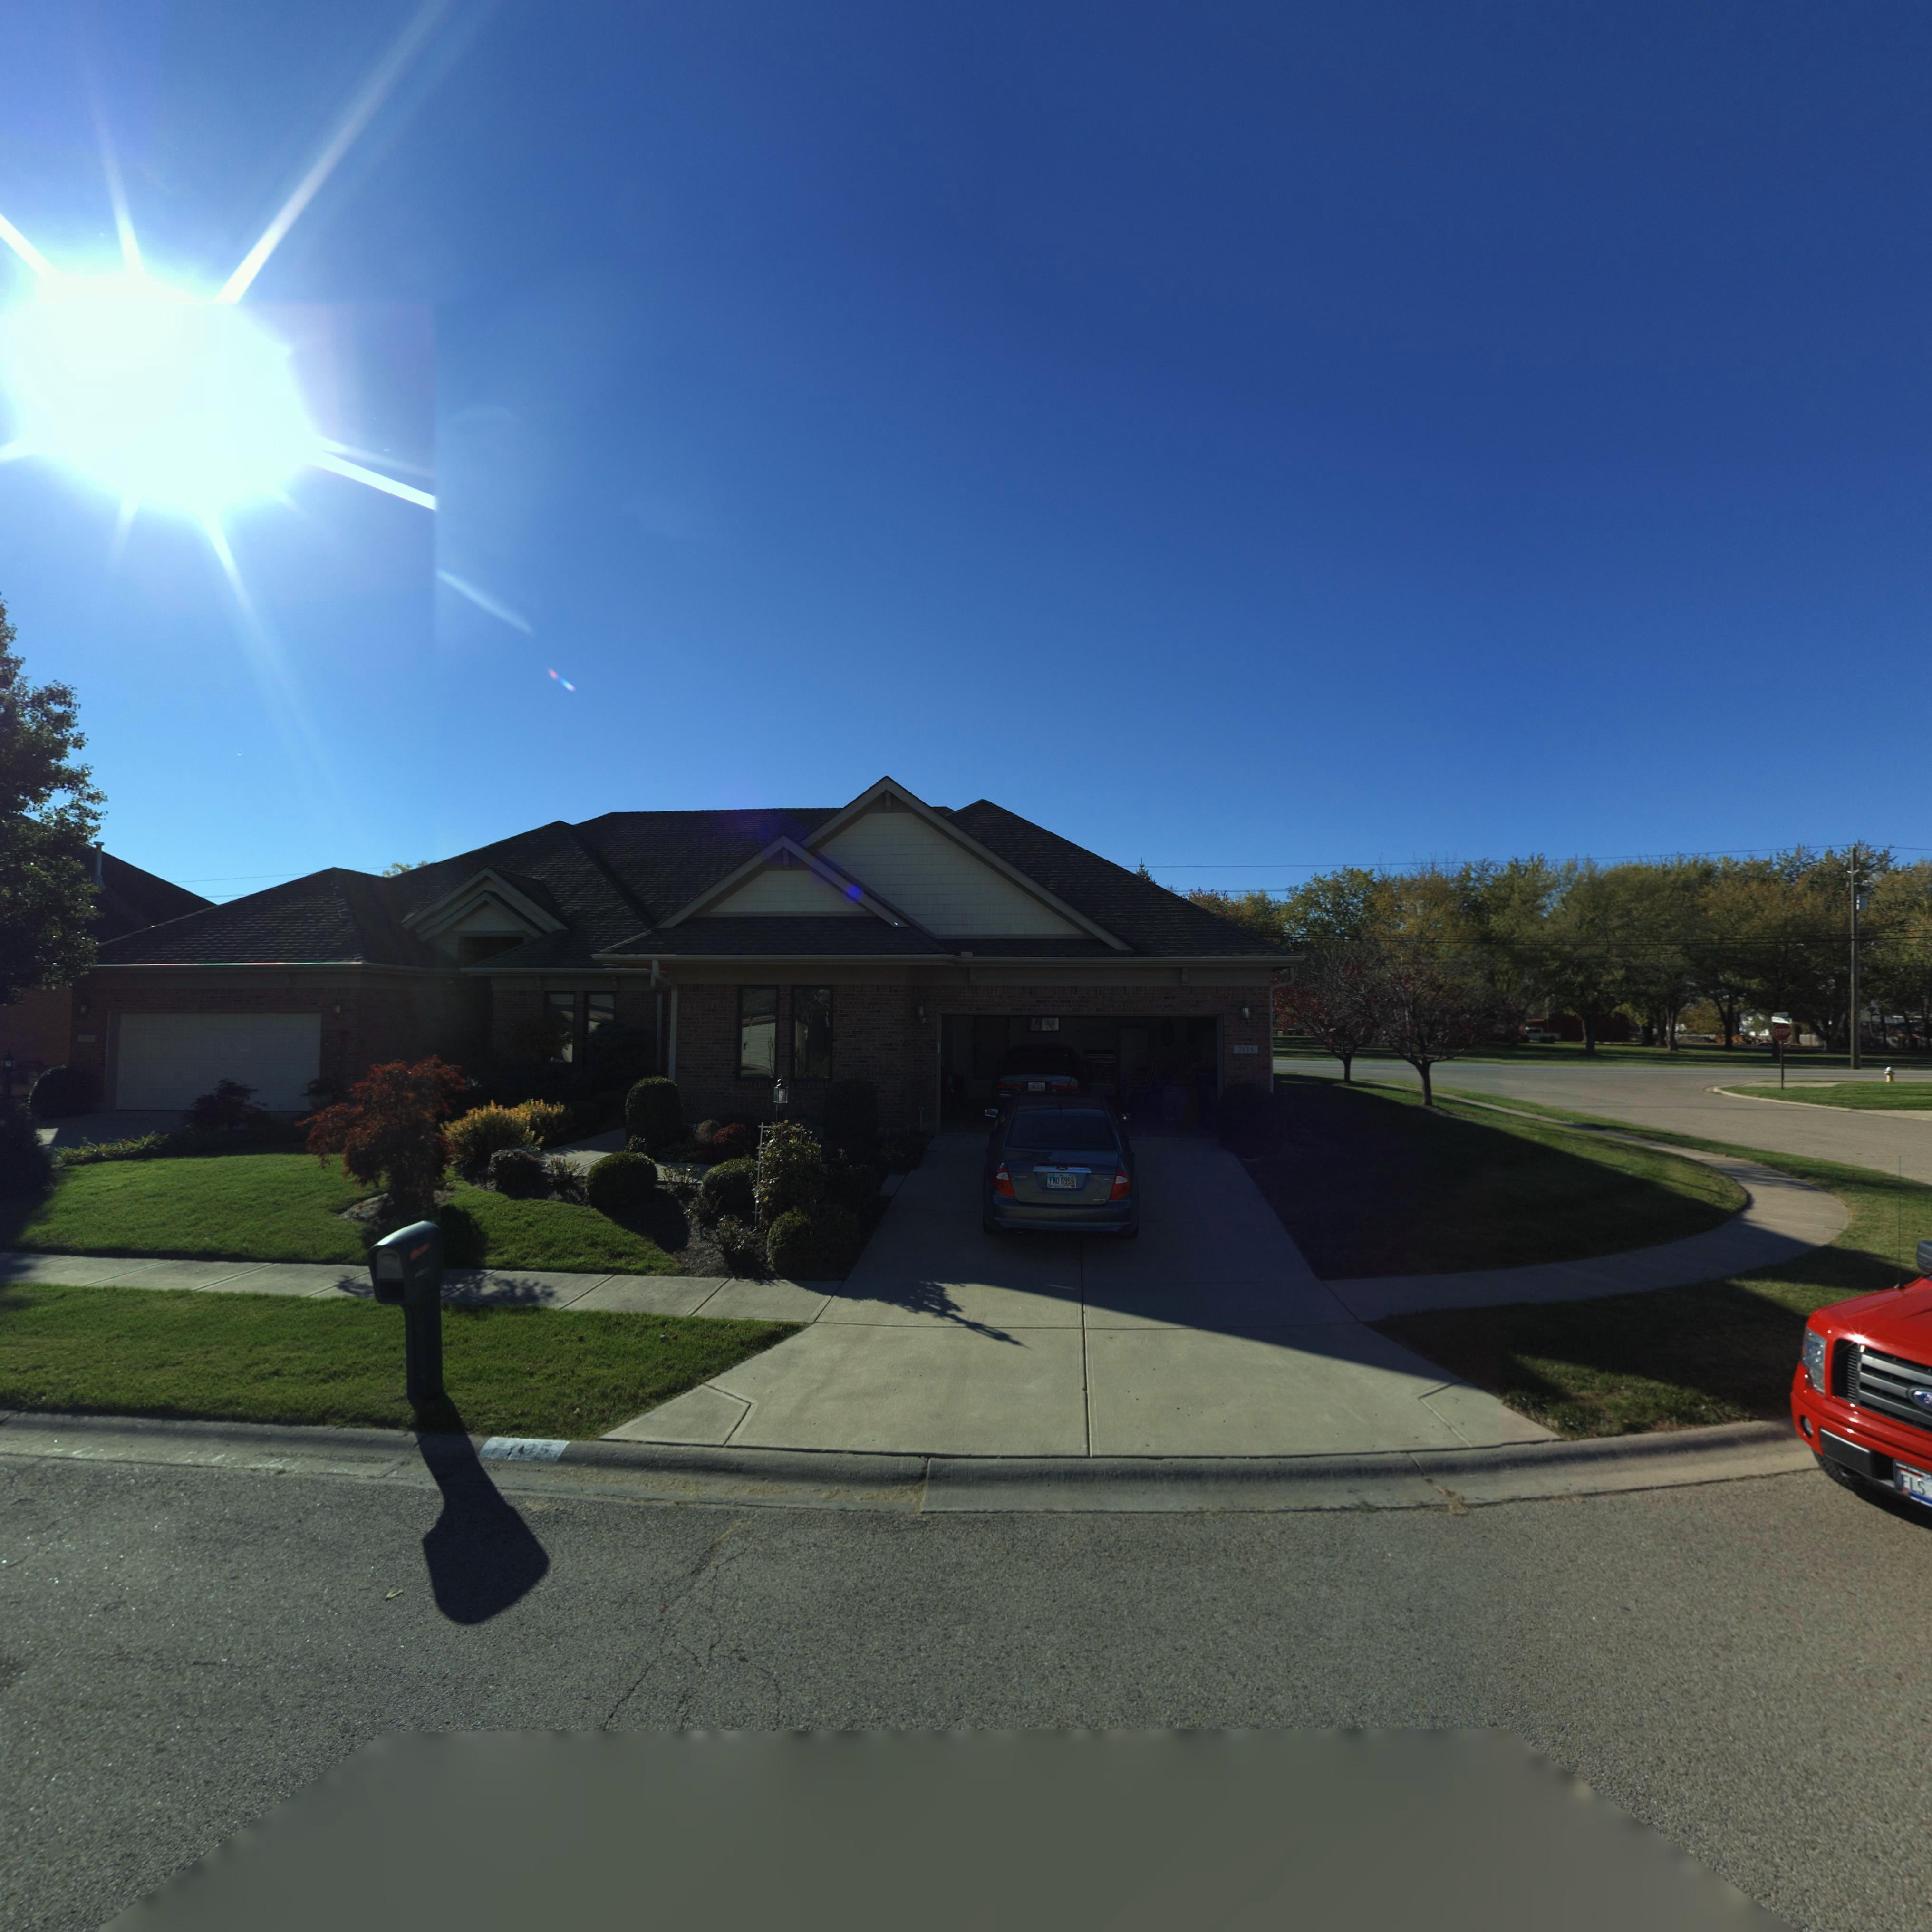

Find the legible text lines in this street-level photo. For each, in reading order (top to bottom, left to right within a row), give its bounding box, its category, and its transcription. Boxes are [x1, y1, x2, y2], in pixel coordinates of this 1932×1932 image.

[1237, 1046, 1254, 1053] StreetNumber: 7135
[488, 1441, 554, 1457] StreetNumber: 7135